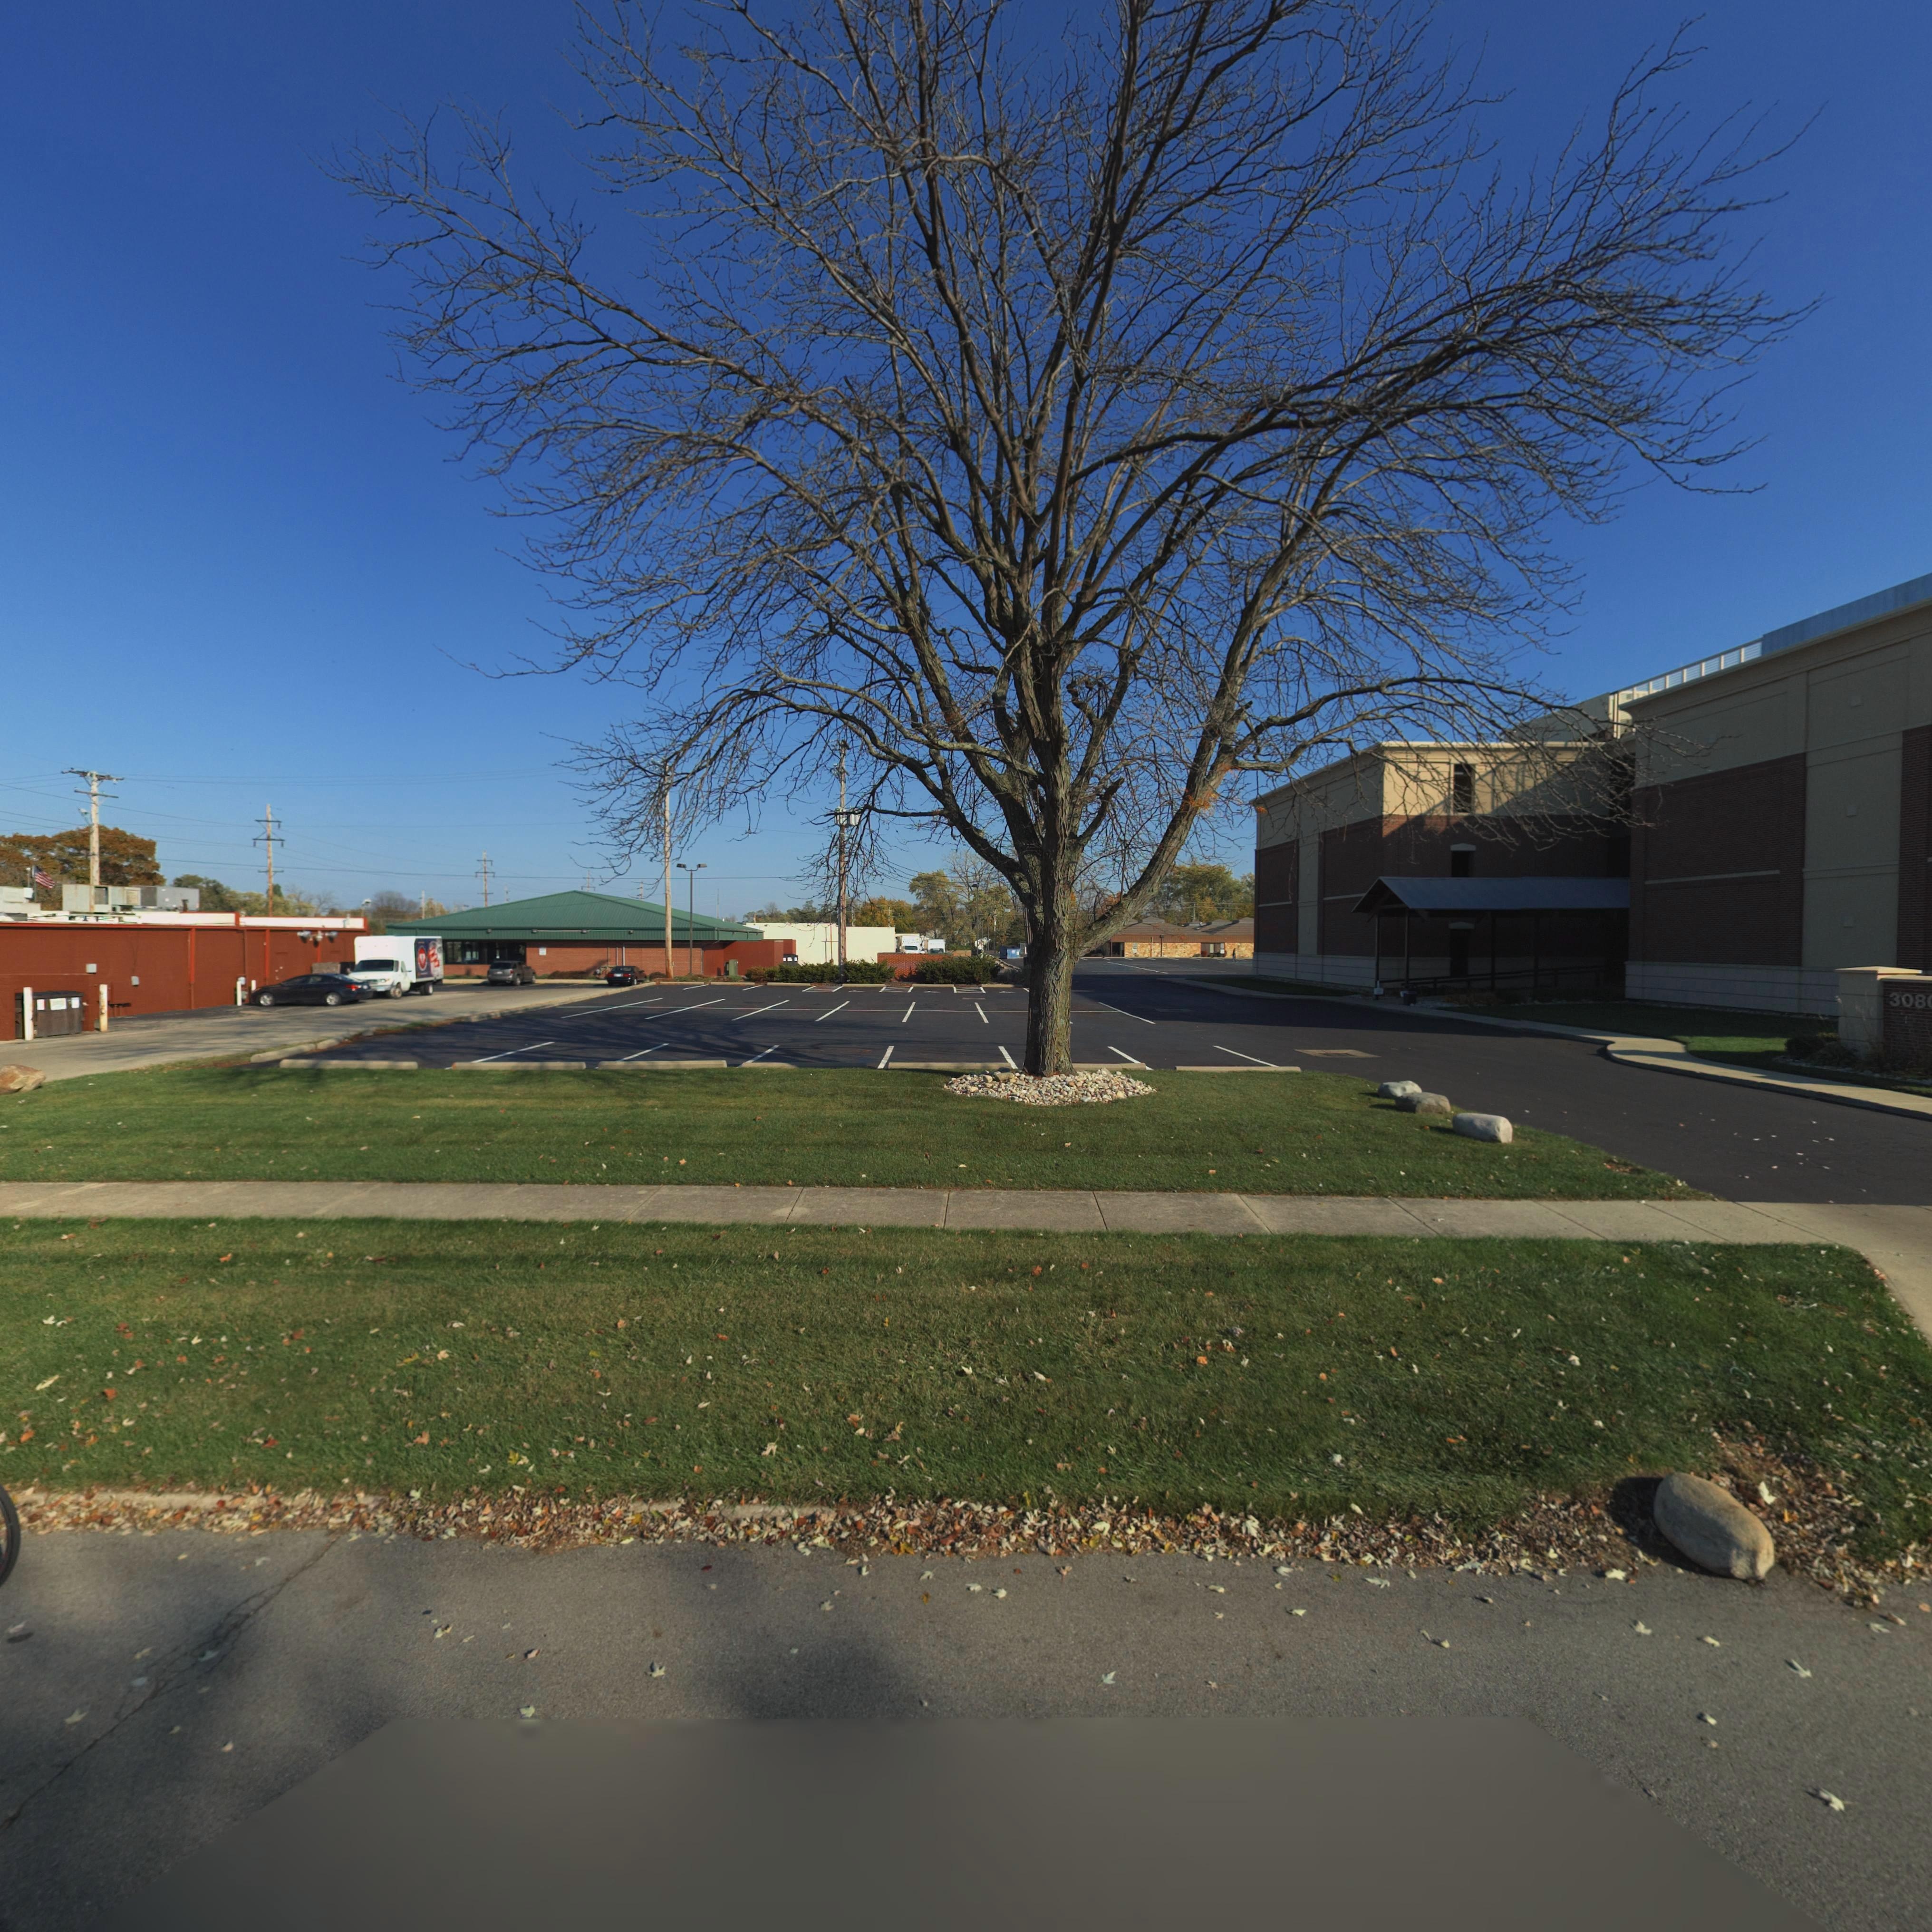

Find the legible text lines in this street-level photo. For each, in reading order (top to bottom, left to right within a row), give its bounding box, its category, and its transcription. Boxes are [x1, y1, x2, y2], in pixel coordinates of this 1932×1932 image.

[1888, 991, 1927, 1010] StreetNumber: 308